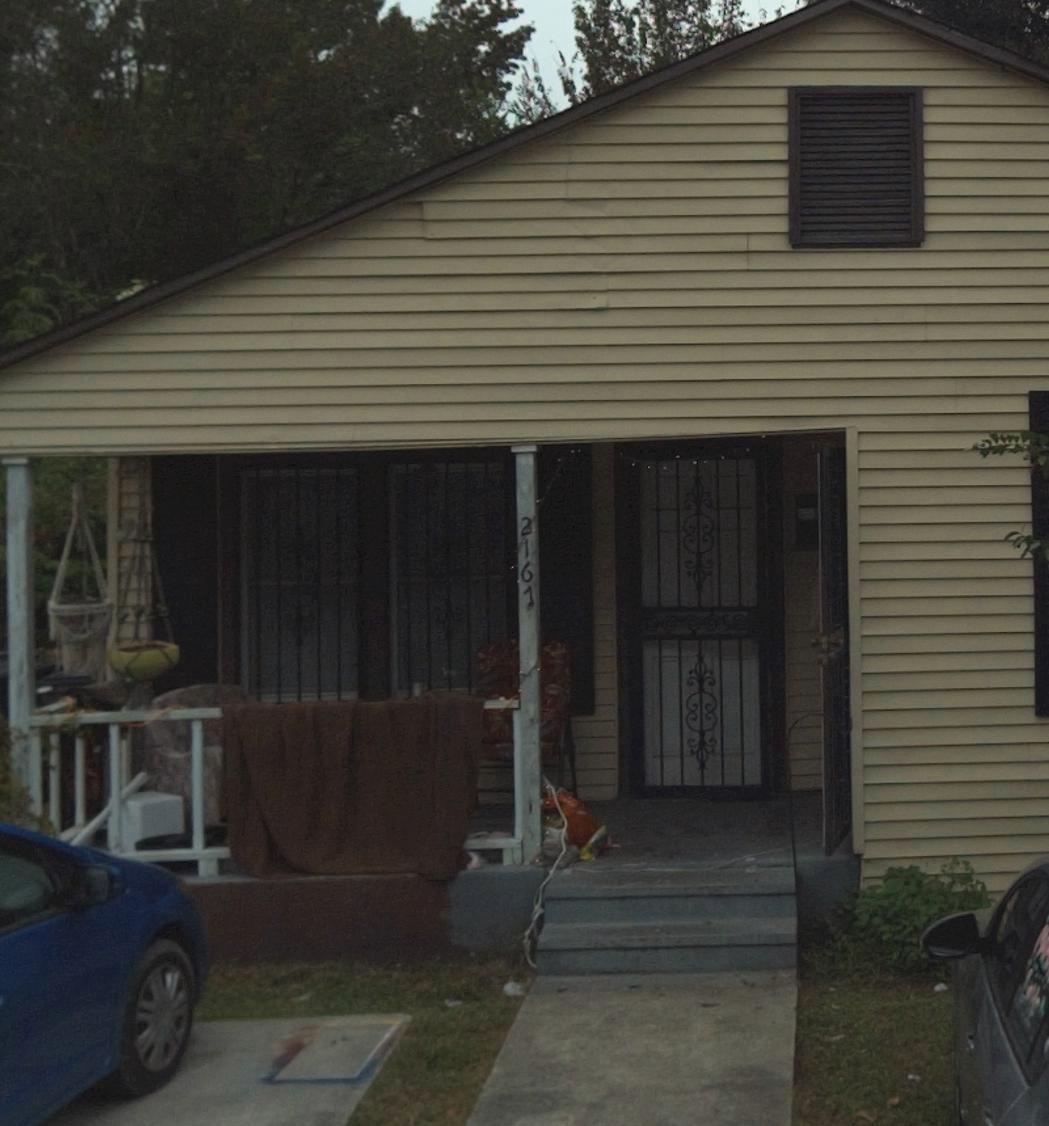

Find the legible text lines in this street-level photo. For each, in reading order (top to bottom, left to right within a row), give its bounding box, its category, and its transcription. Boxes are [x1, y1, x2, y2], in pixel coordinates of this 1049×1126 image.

[519, 516, 536, 609] StreetNumber: 2167